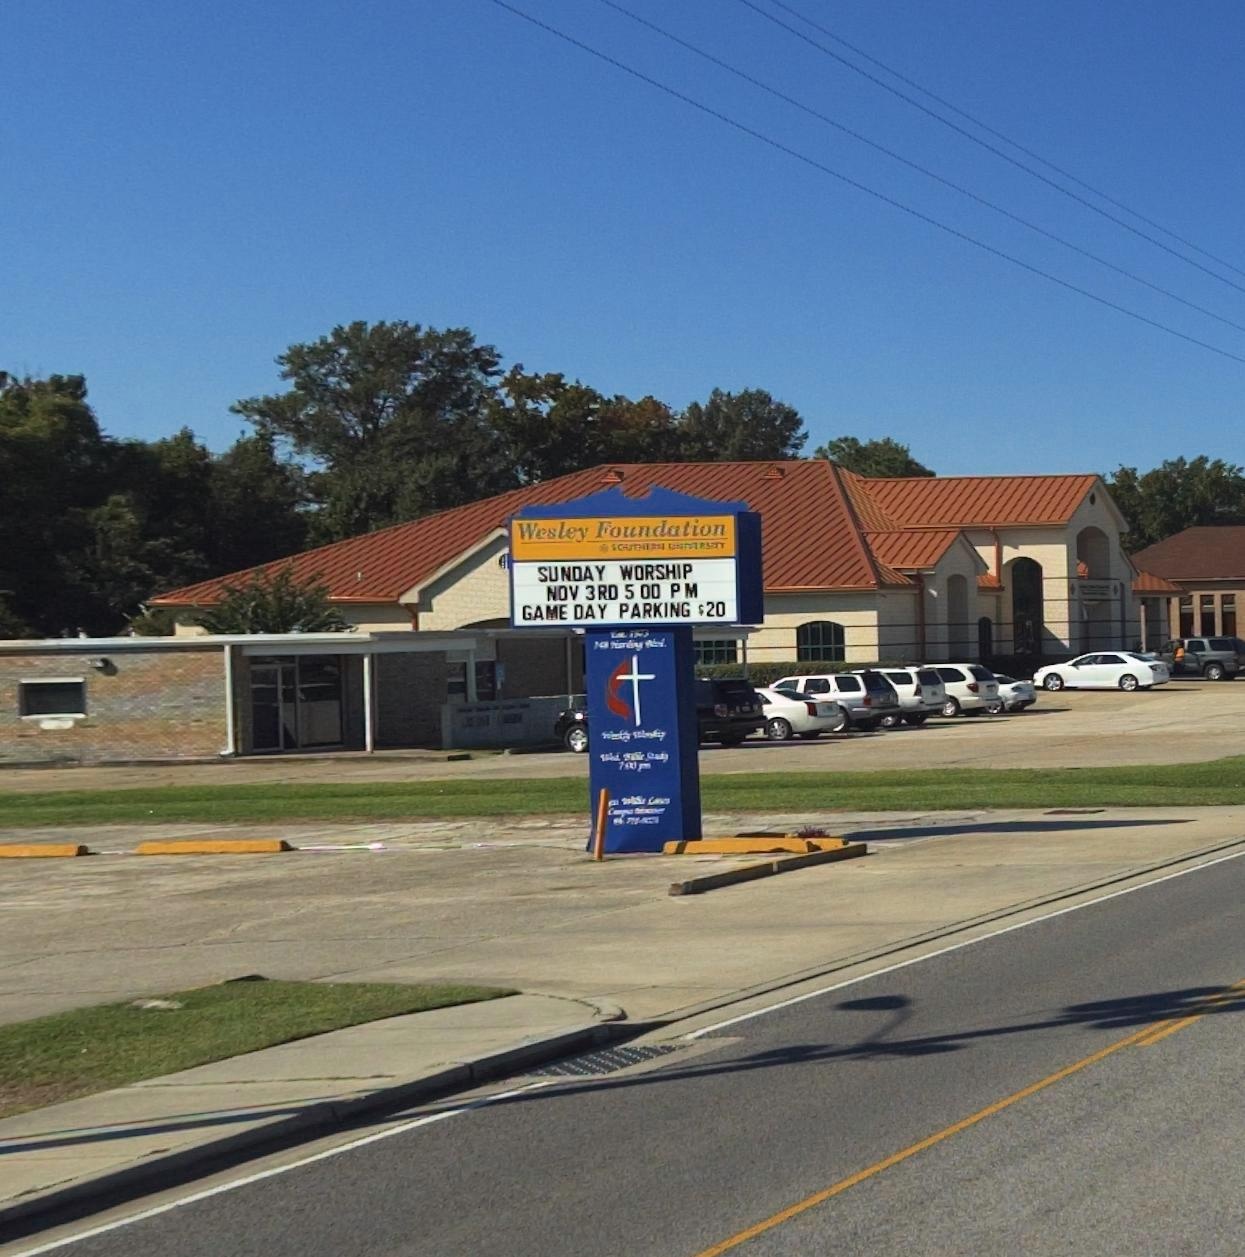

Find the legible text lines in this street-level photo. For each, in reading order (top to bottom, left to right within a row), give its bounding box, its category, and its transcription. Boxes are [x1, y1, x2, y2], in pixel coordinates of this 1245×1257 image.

[516, 517, 726, 543] BusinessName: Wesley Foundation
[537, 561, 694, 583] None: SUNDAY WORSHIP
[547, 581, 699, 602] None: NOV 3RD 5 00 PM
[521, 601, 726, 621] None: GAME DAY PARKING $20
[617, 761, 652, 773] None: 7:00 pm